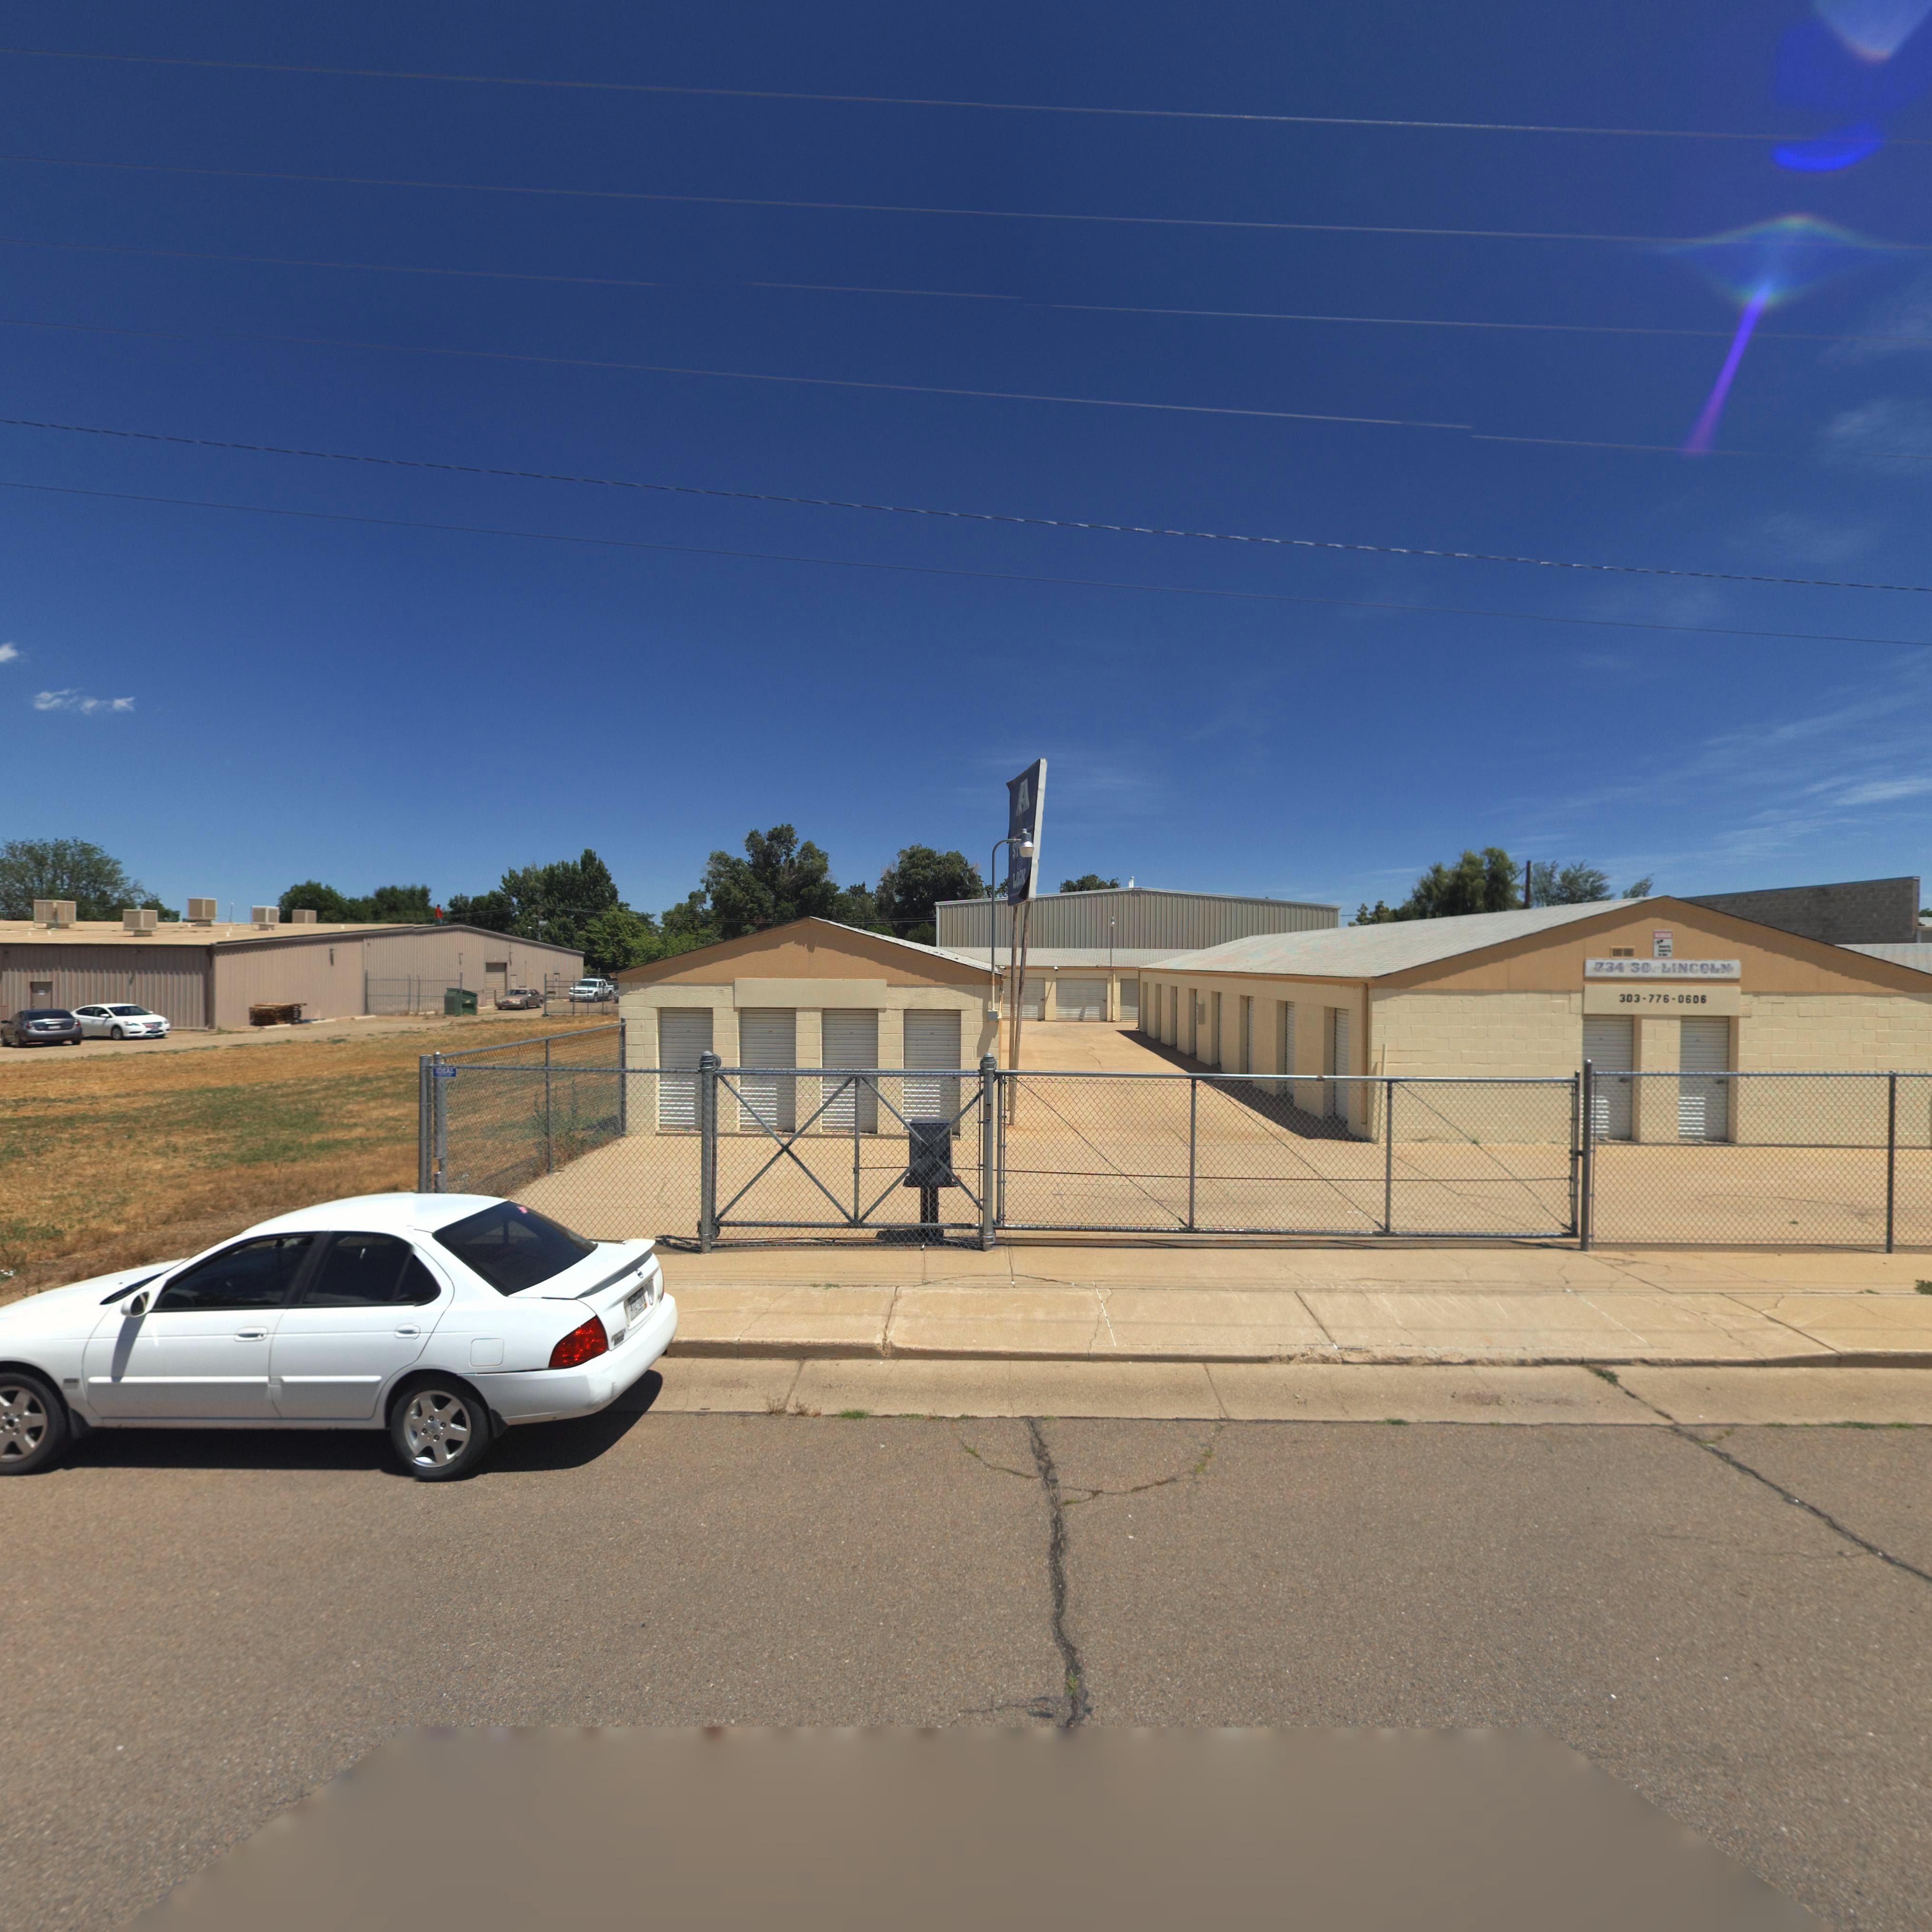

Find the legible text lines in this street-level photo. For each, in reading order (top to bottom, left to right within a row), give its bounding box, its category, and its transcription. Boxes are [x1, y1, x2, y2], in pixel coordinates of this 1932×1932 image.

[1014, 776, 1030, 818] BusinessName: A
[1011, 840, 1021, 860] BusinessName: ST
[1012, 867, 1026, 890] BusinessName: LOCK
[1595, 961, 1624, 972] StreetNumber: 734
[1630, 961, 1731, 974] StreetName: SO. LINCOLN